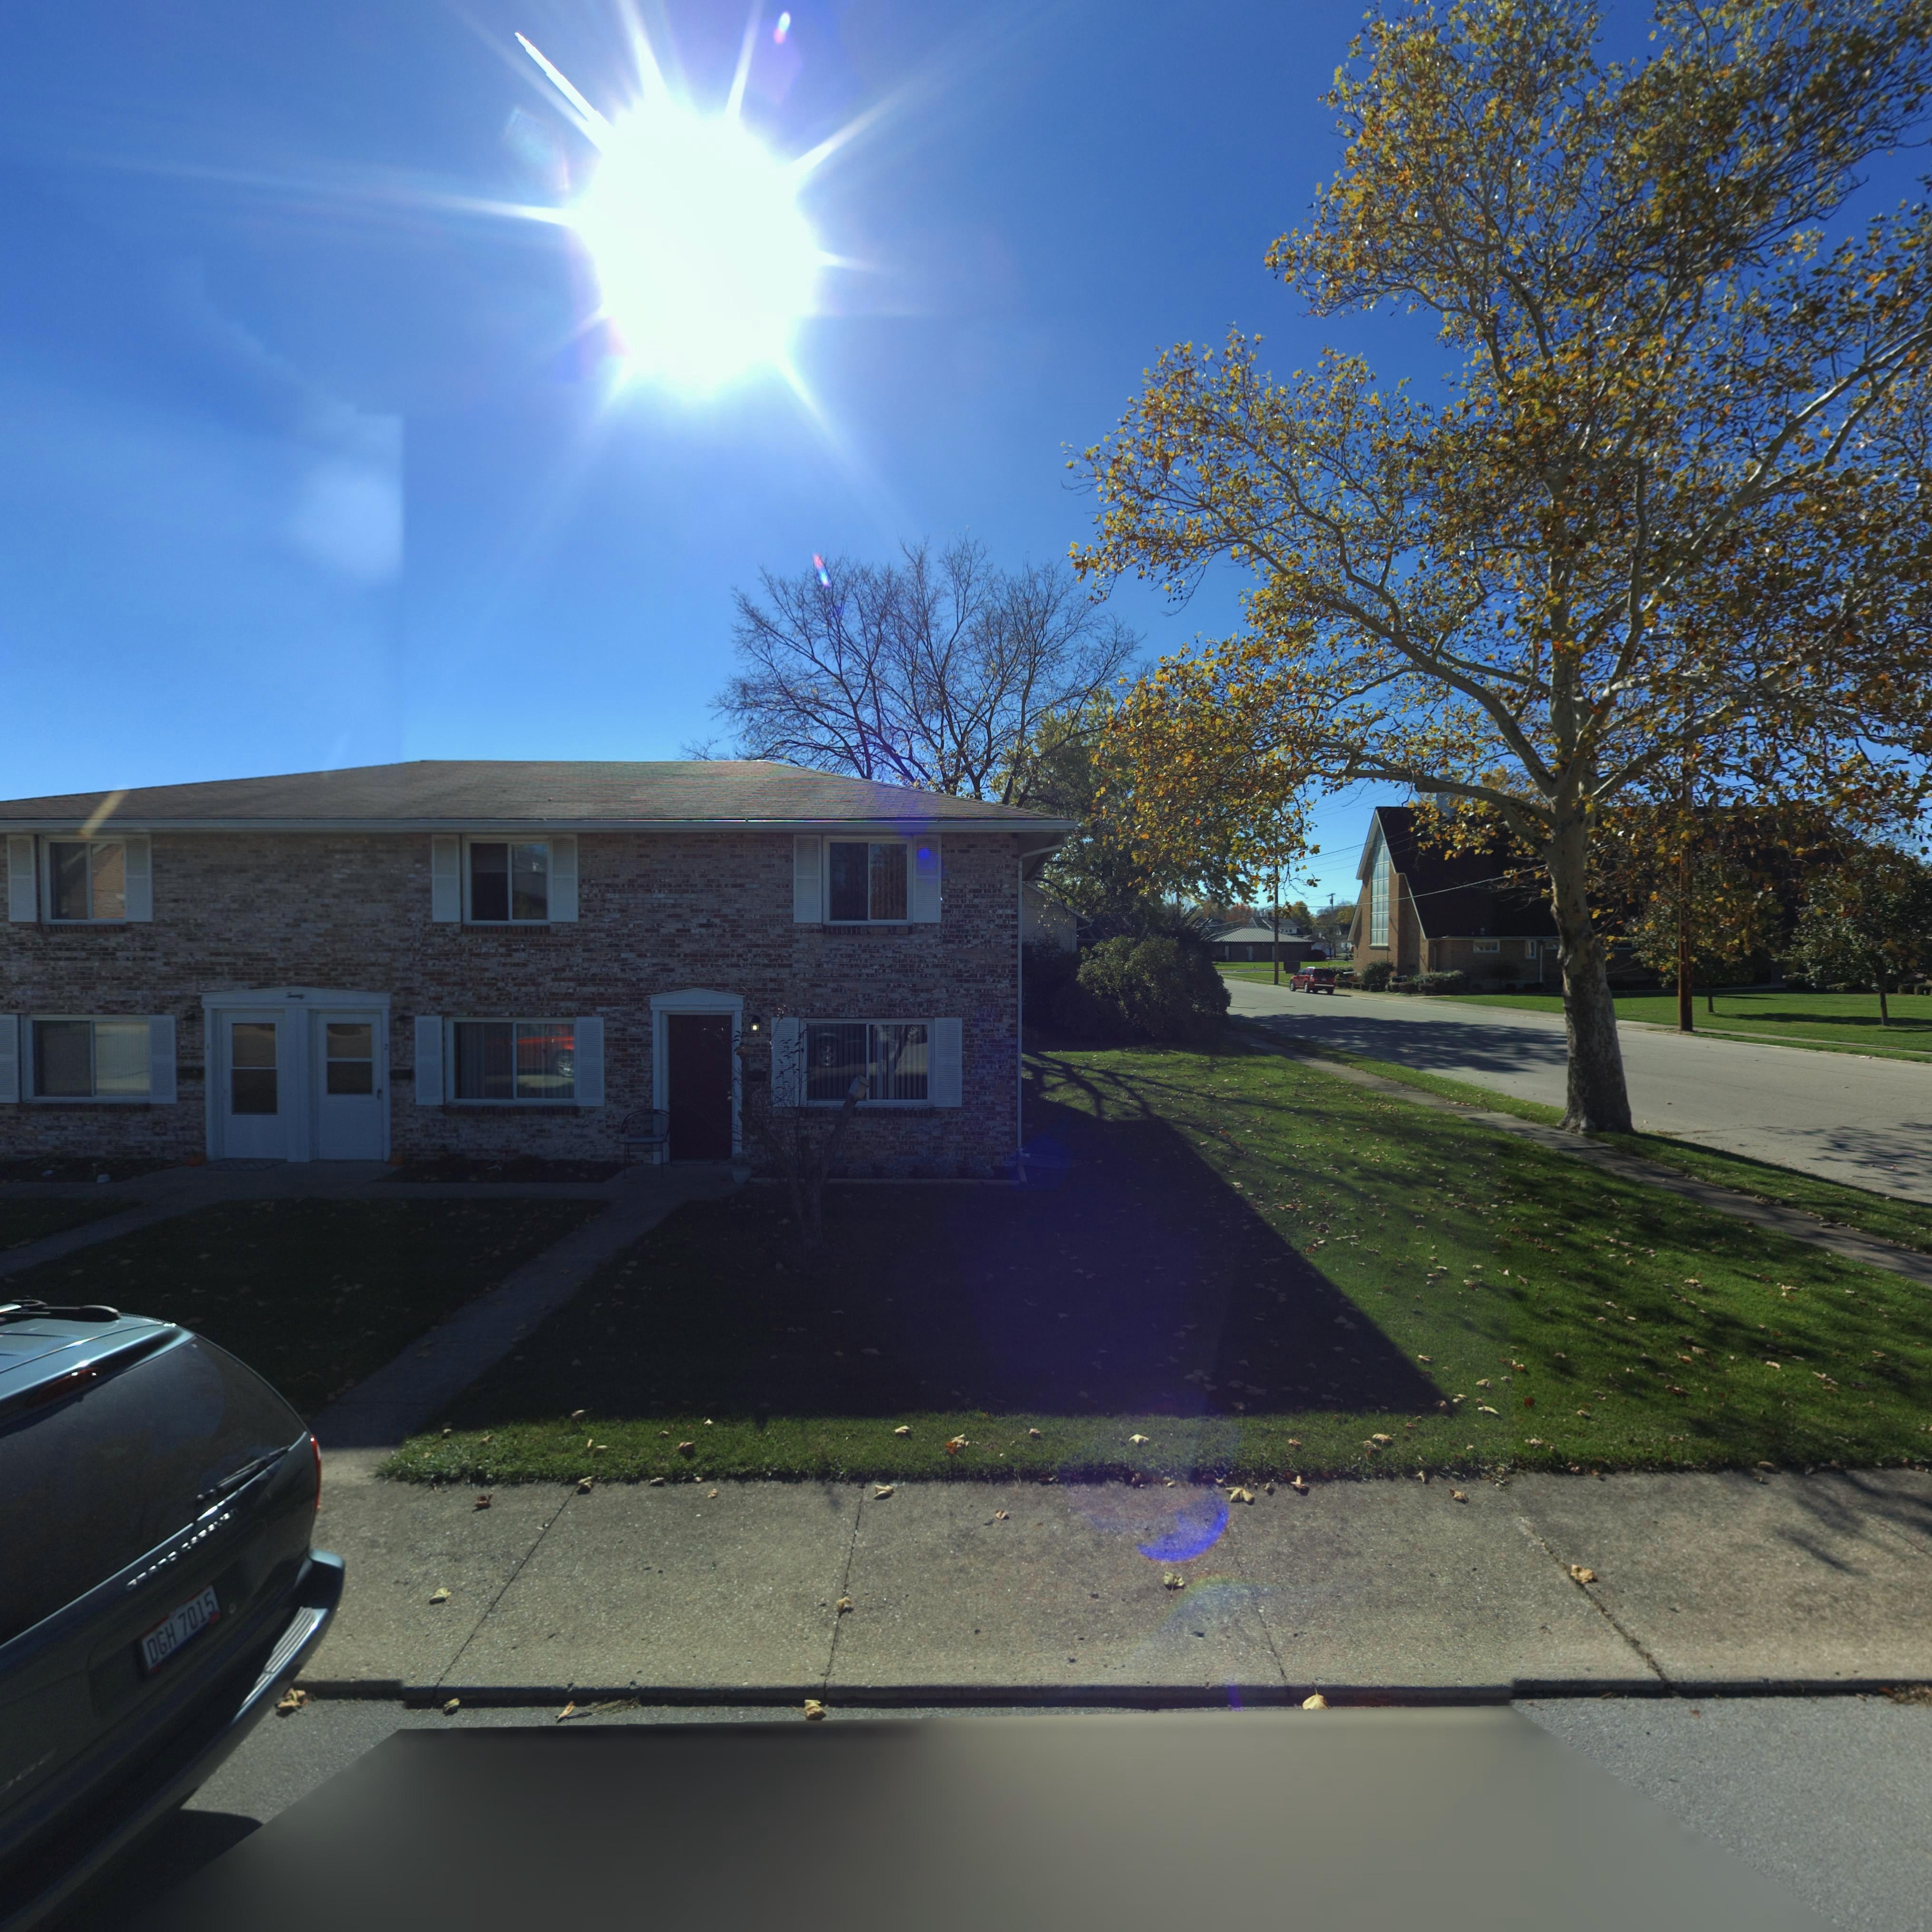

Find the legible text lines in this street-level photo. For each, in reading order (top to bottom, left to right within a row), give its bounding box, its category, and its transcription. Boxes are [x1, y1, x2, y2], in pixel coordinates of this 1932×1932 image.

[284, 991, 292, 999] StreetNumber: T
[122, 1504, 242, 1596] None: GRAND CARAVAN
[144, 1588, 218, 1667] None: DGH*7015